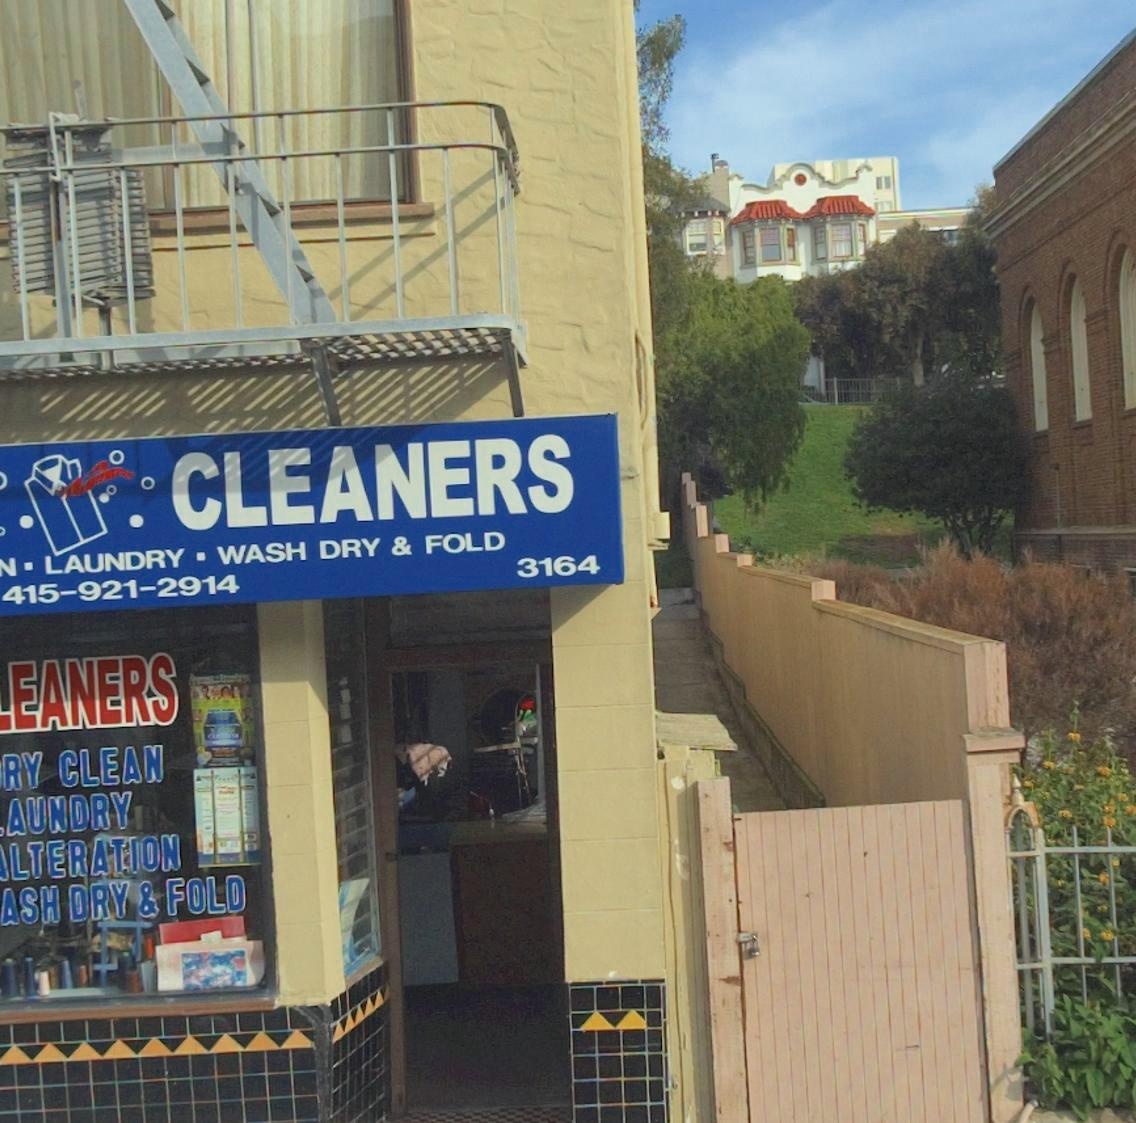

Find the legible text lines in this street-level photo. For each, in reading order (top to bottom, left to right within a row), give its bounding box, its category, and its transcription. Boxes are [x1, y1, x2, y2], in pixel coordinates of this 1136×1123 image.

[166, 429, 580, 536] BusinessName: CLEANERS
[0, 570, 244, 608] None: 415-921-2914
[41, 527, 511, 580] None: LAUNDRY * WASH DRY & FOLD
[513, 551, 604, 582] StreetNumber: 3164
[3, 649, 182, 738] BusinessName: EANERS
[0, 740, 168, 796] None: RY CLEAN
[2, 786, 137, 841] None: AUNDRY
[5, 829, 185, 886] None: LTERATION
[0, 871, 250, 929] None: ASH DRY & FOLD